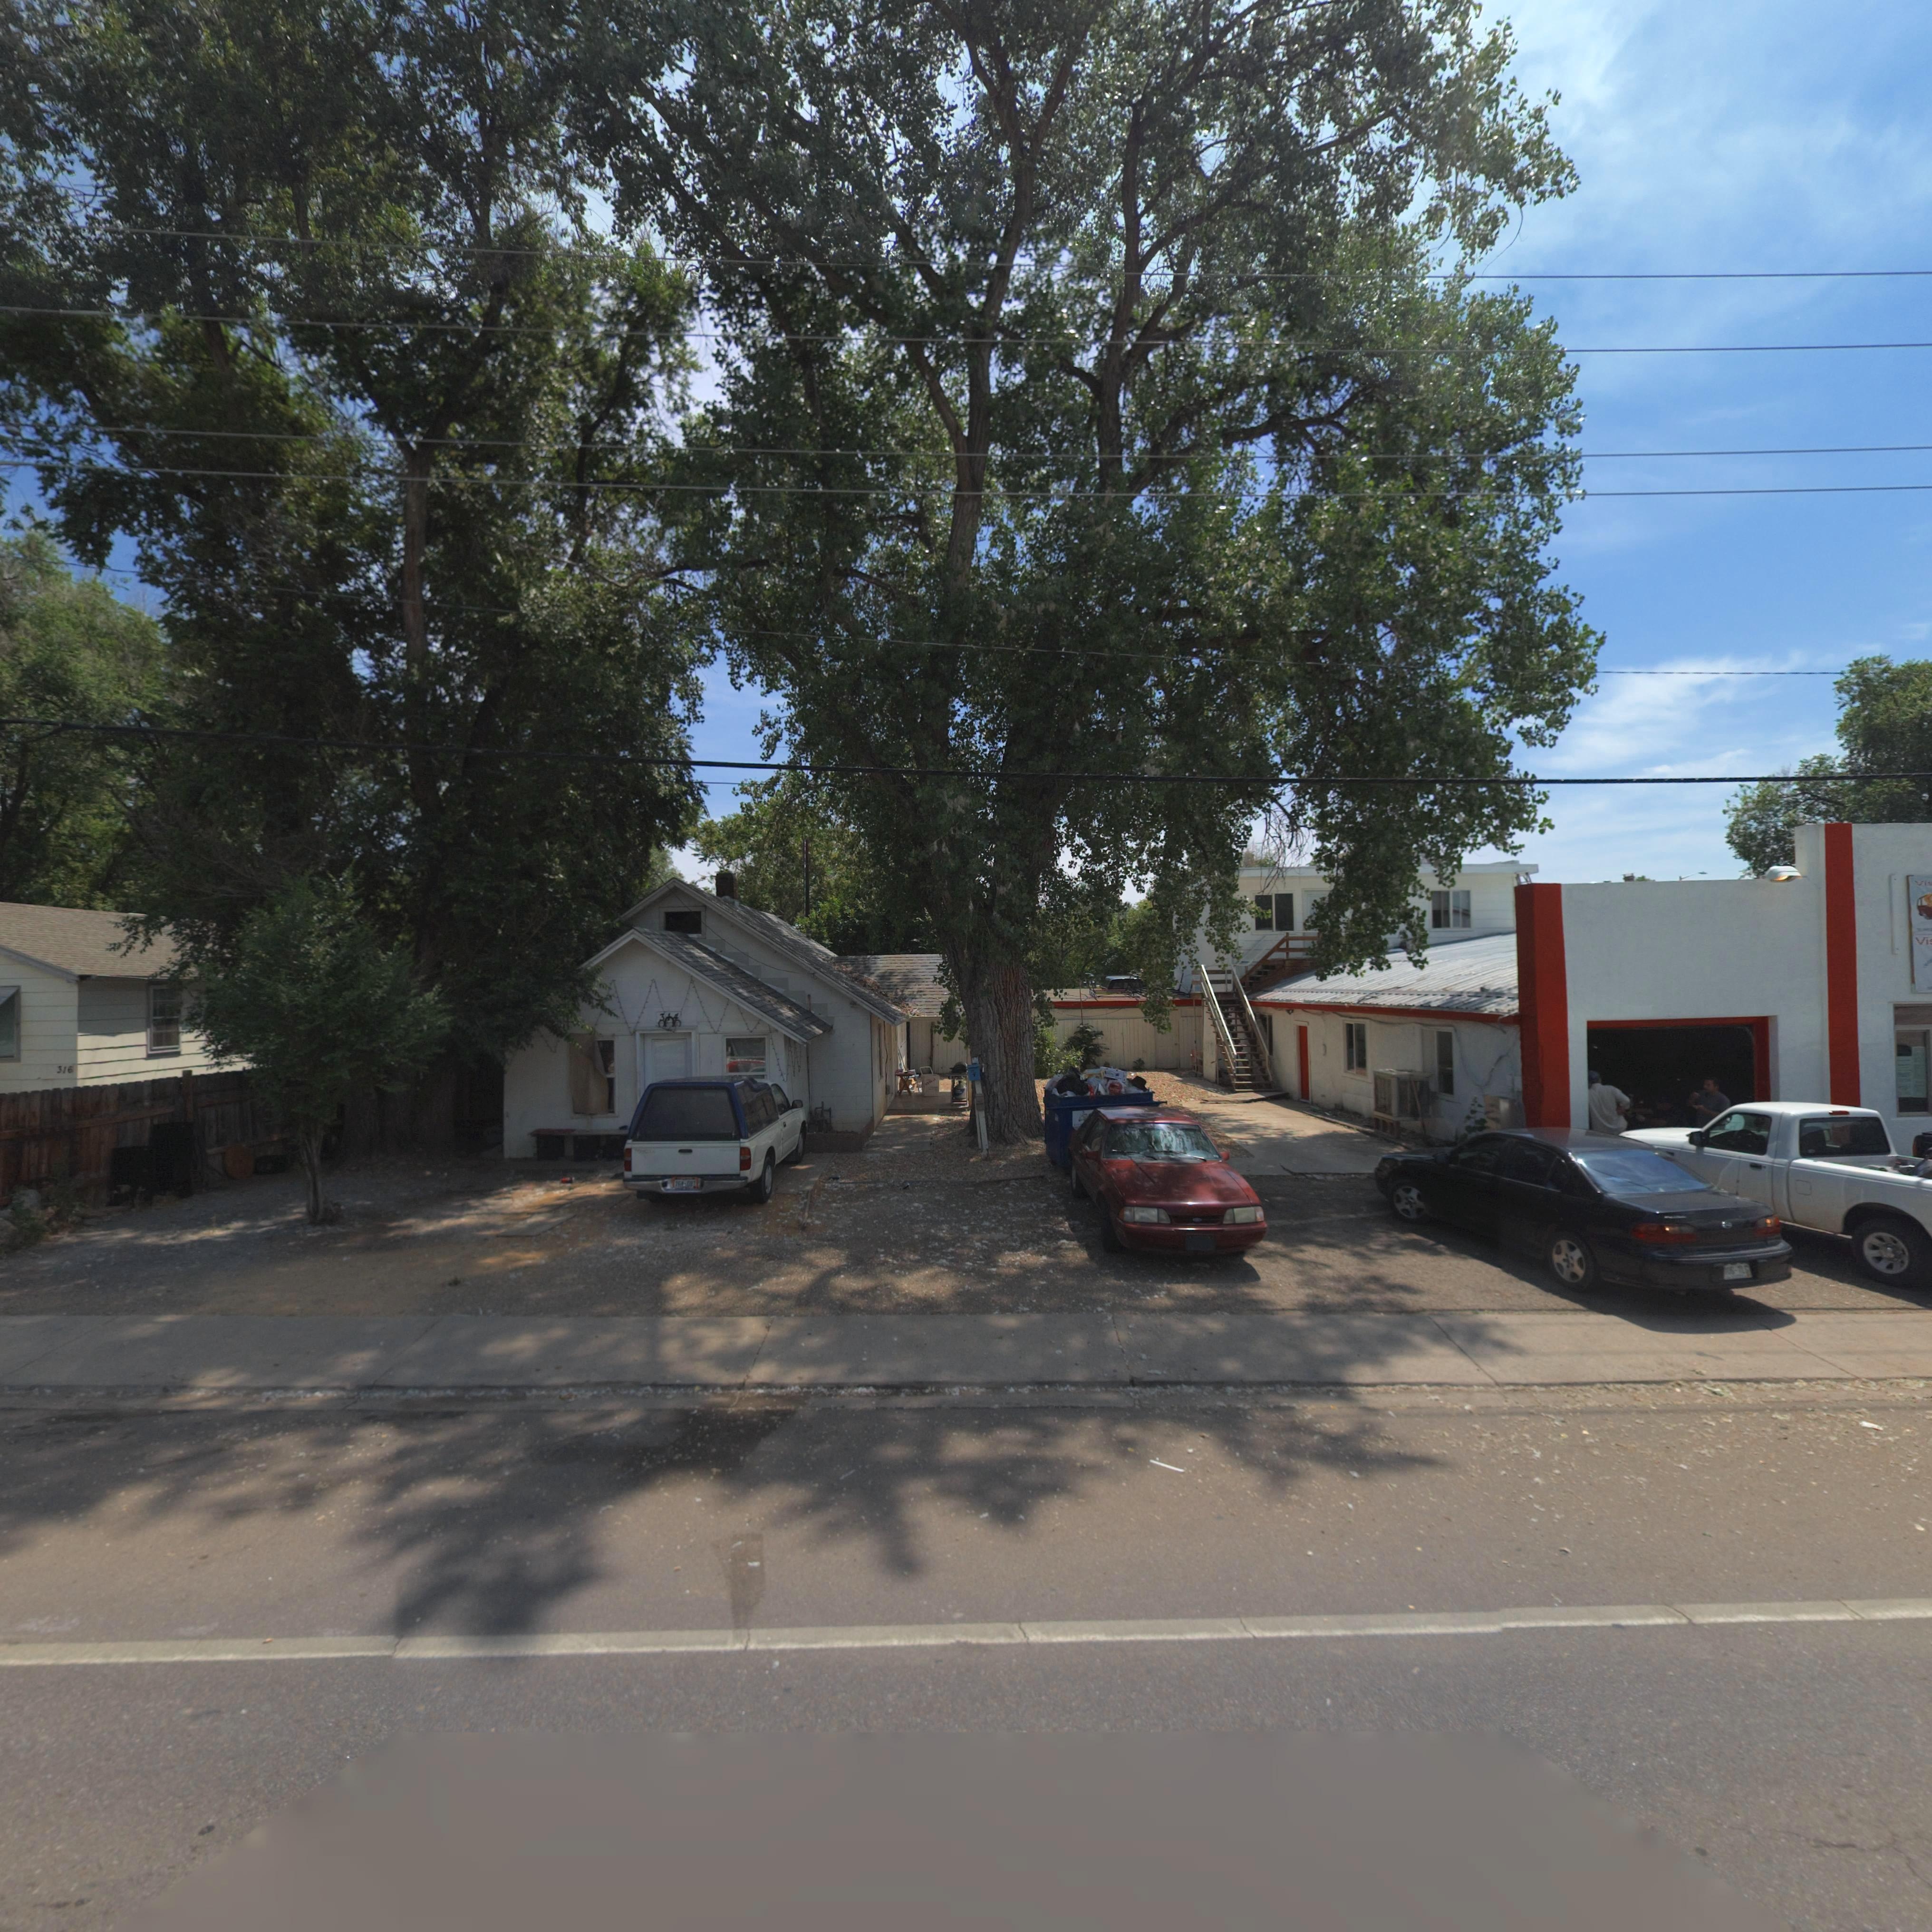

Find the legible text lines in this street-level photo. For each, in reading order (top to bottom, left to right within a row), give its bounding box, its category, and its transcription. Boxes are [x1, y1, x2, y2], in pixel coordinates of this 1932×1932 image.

[659, 1013, 679, 1021] StreetNumber: 3*4
[56, 1065, 73, 1073] StreetNumber: 316